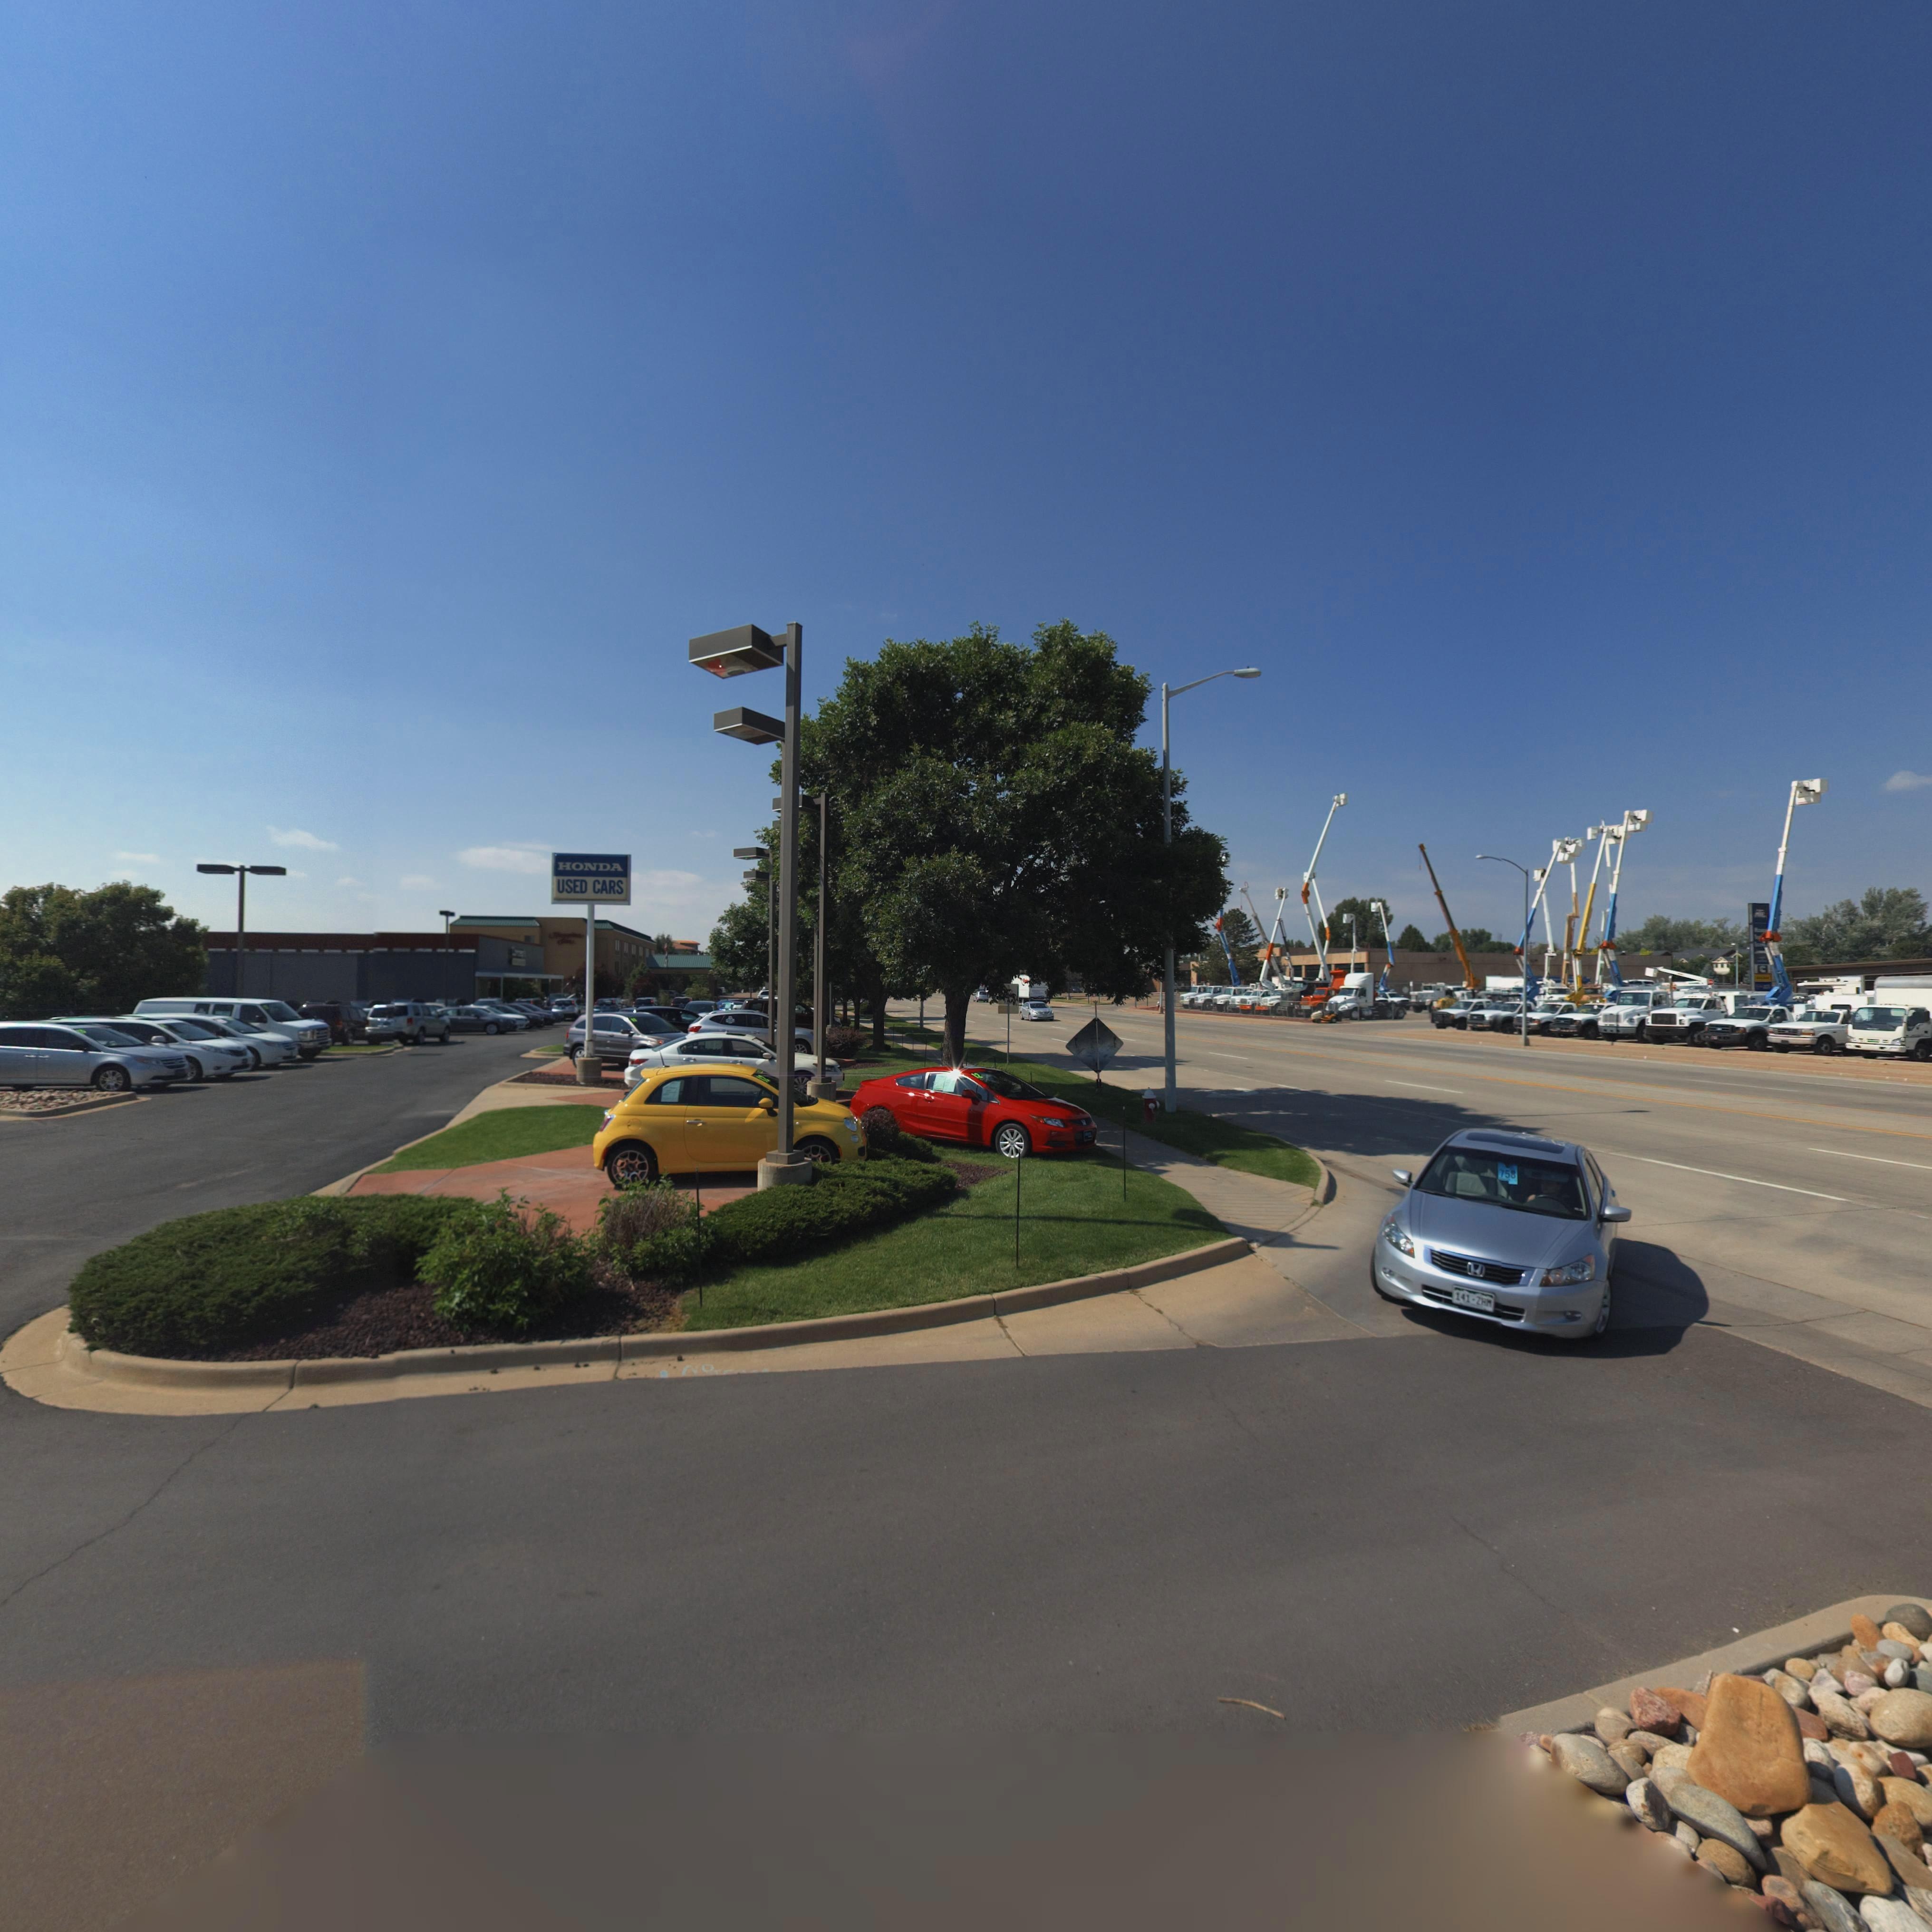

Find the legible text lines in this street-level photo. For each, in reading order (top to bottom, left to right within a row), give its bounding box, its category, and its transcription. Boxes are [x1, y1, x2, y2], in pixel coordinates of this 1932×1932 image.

[557, 861, 624, 872] BusinessName: HONDA
[557, 878, 624, 895] BusinessName: USED CARS